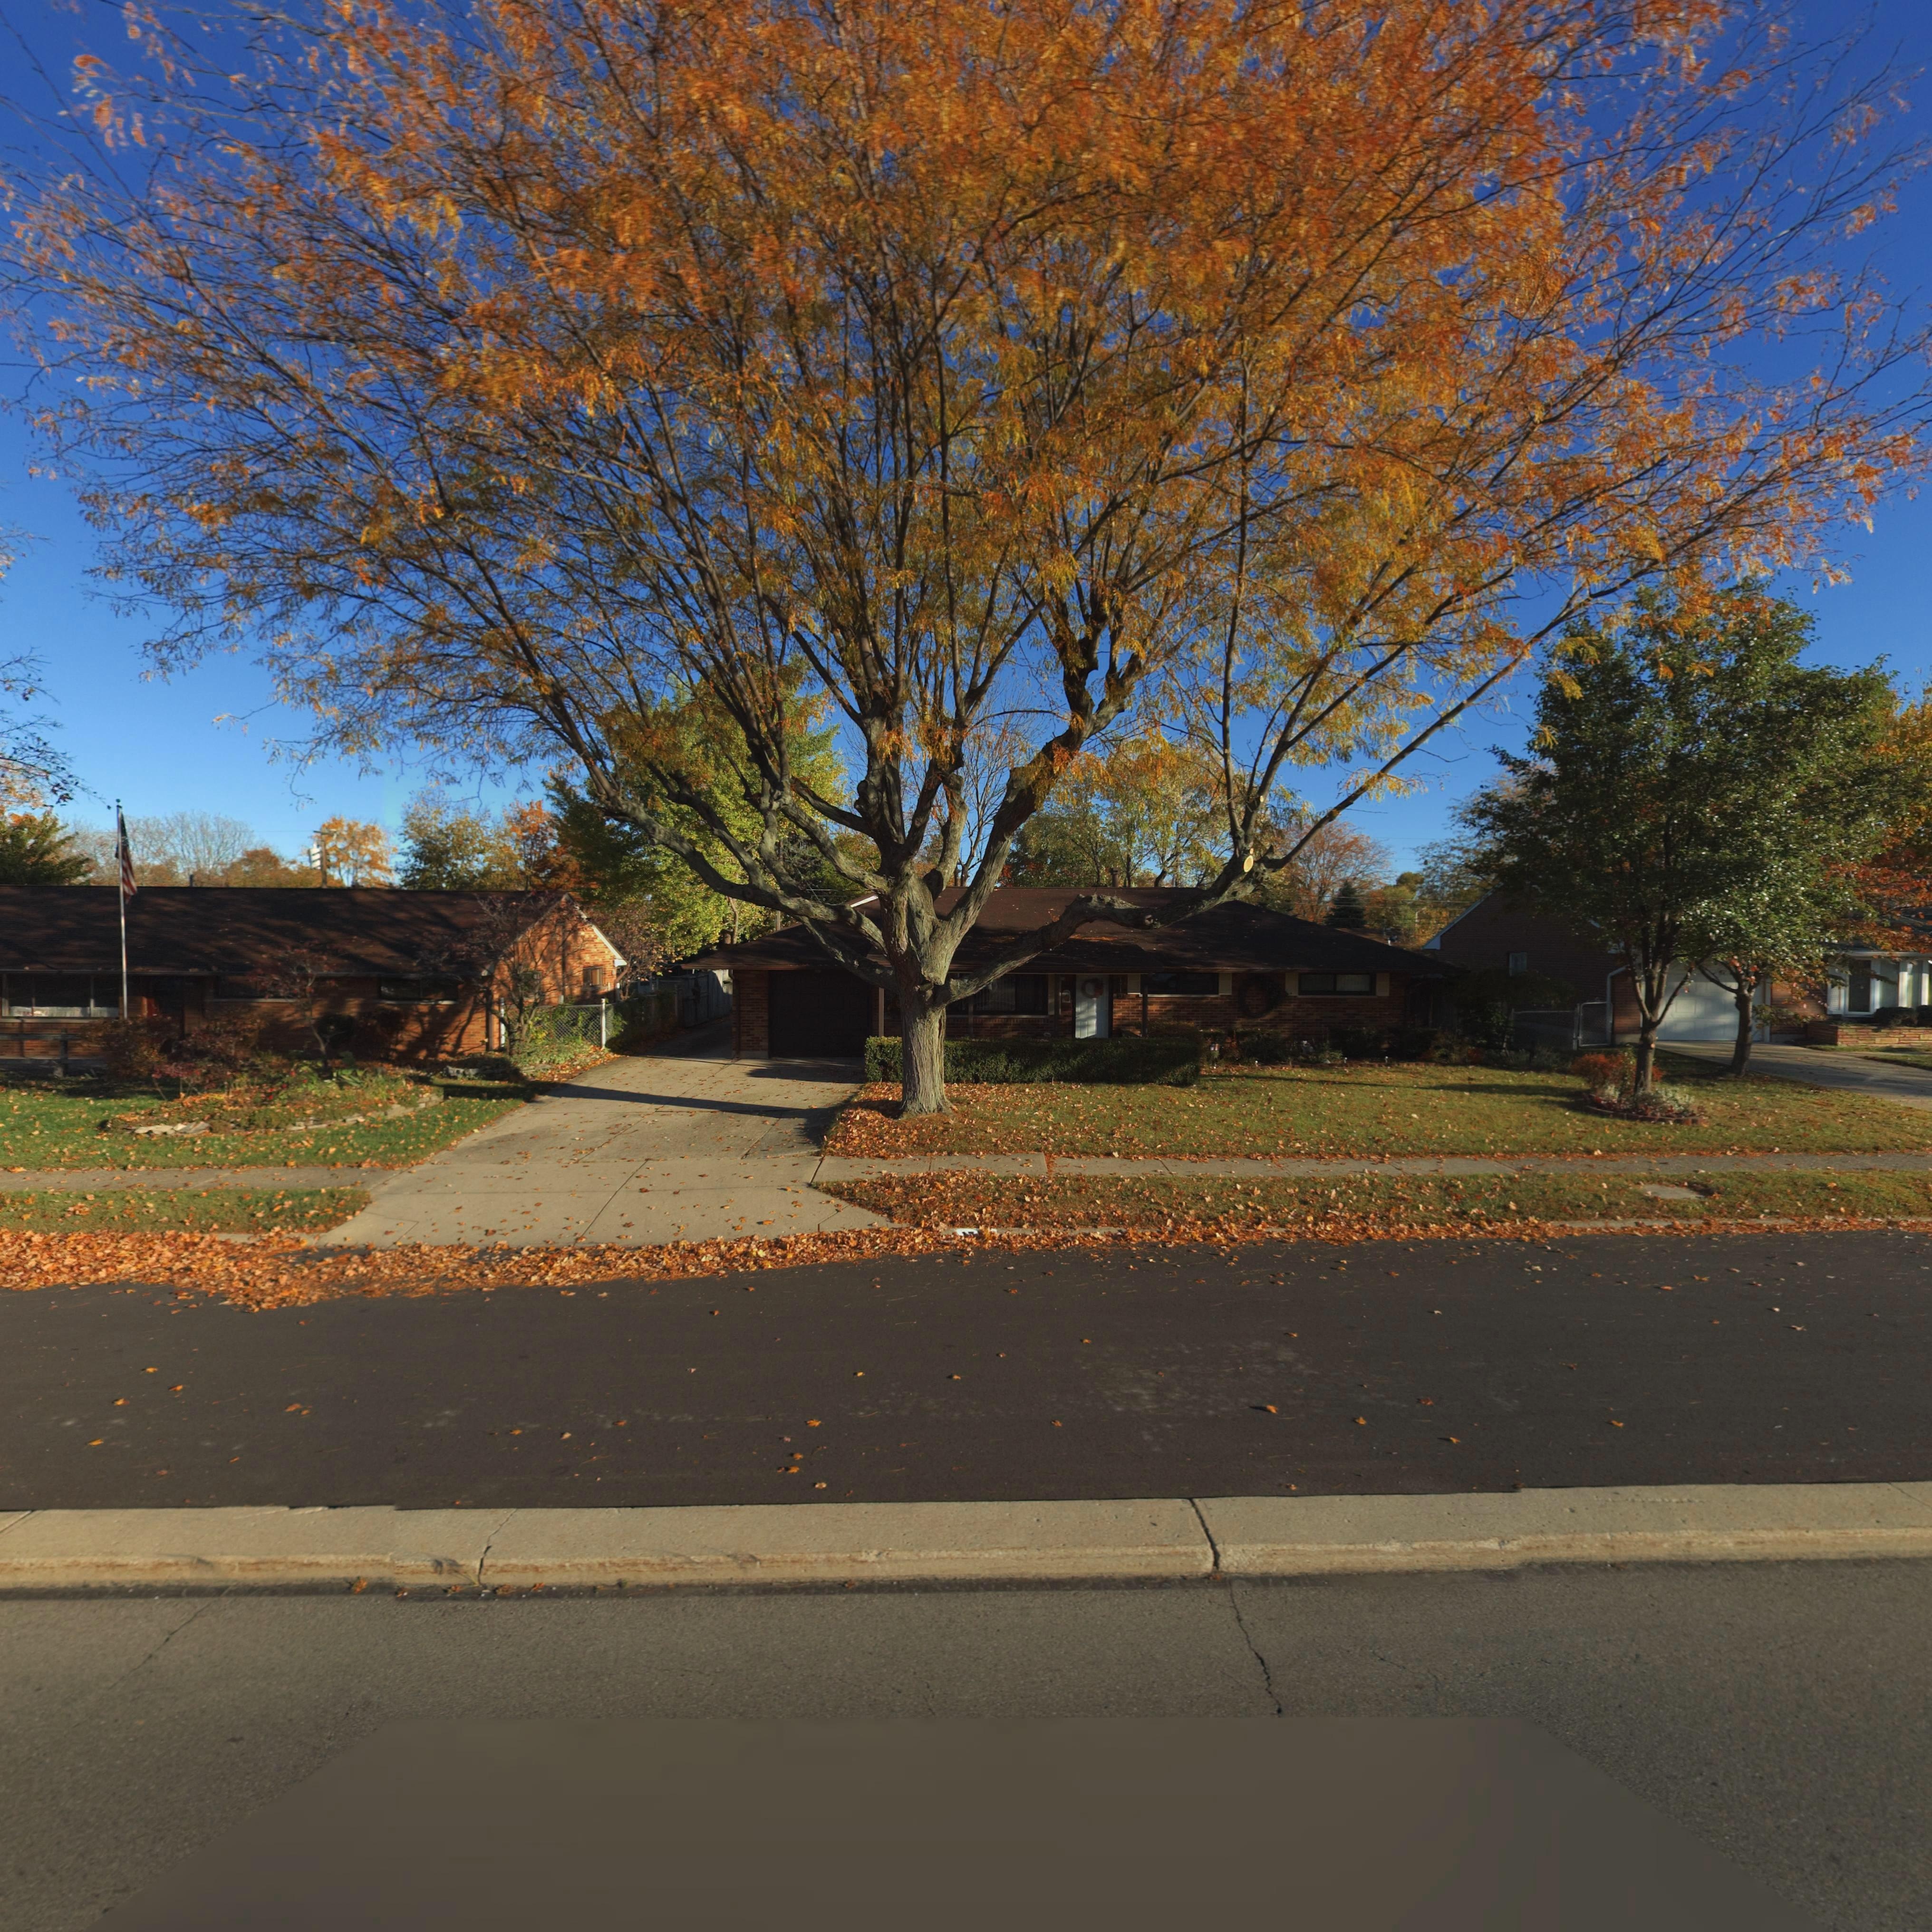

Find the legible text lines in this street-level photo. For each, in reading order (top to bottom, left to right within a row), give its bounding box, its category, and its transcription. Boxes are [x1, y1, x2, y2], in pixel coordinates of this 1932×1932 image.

[1118, 977, 1123, 999] StreetNumber: **13